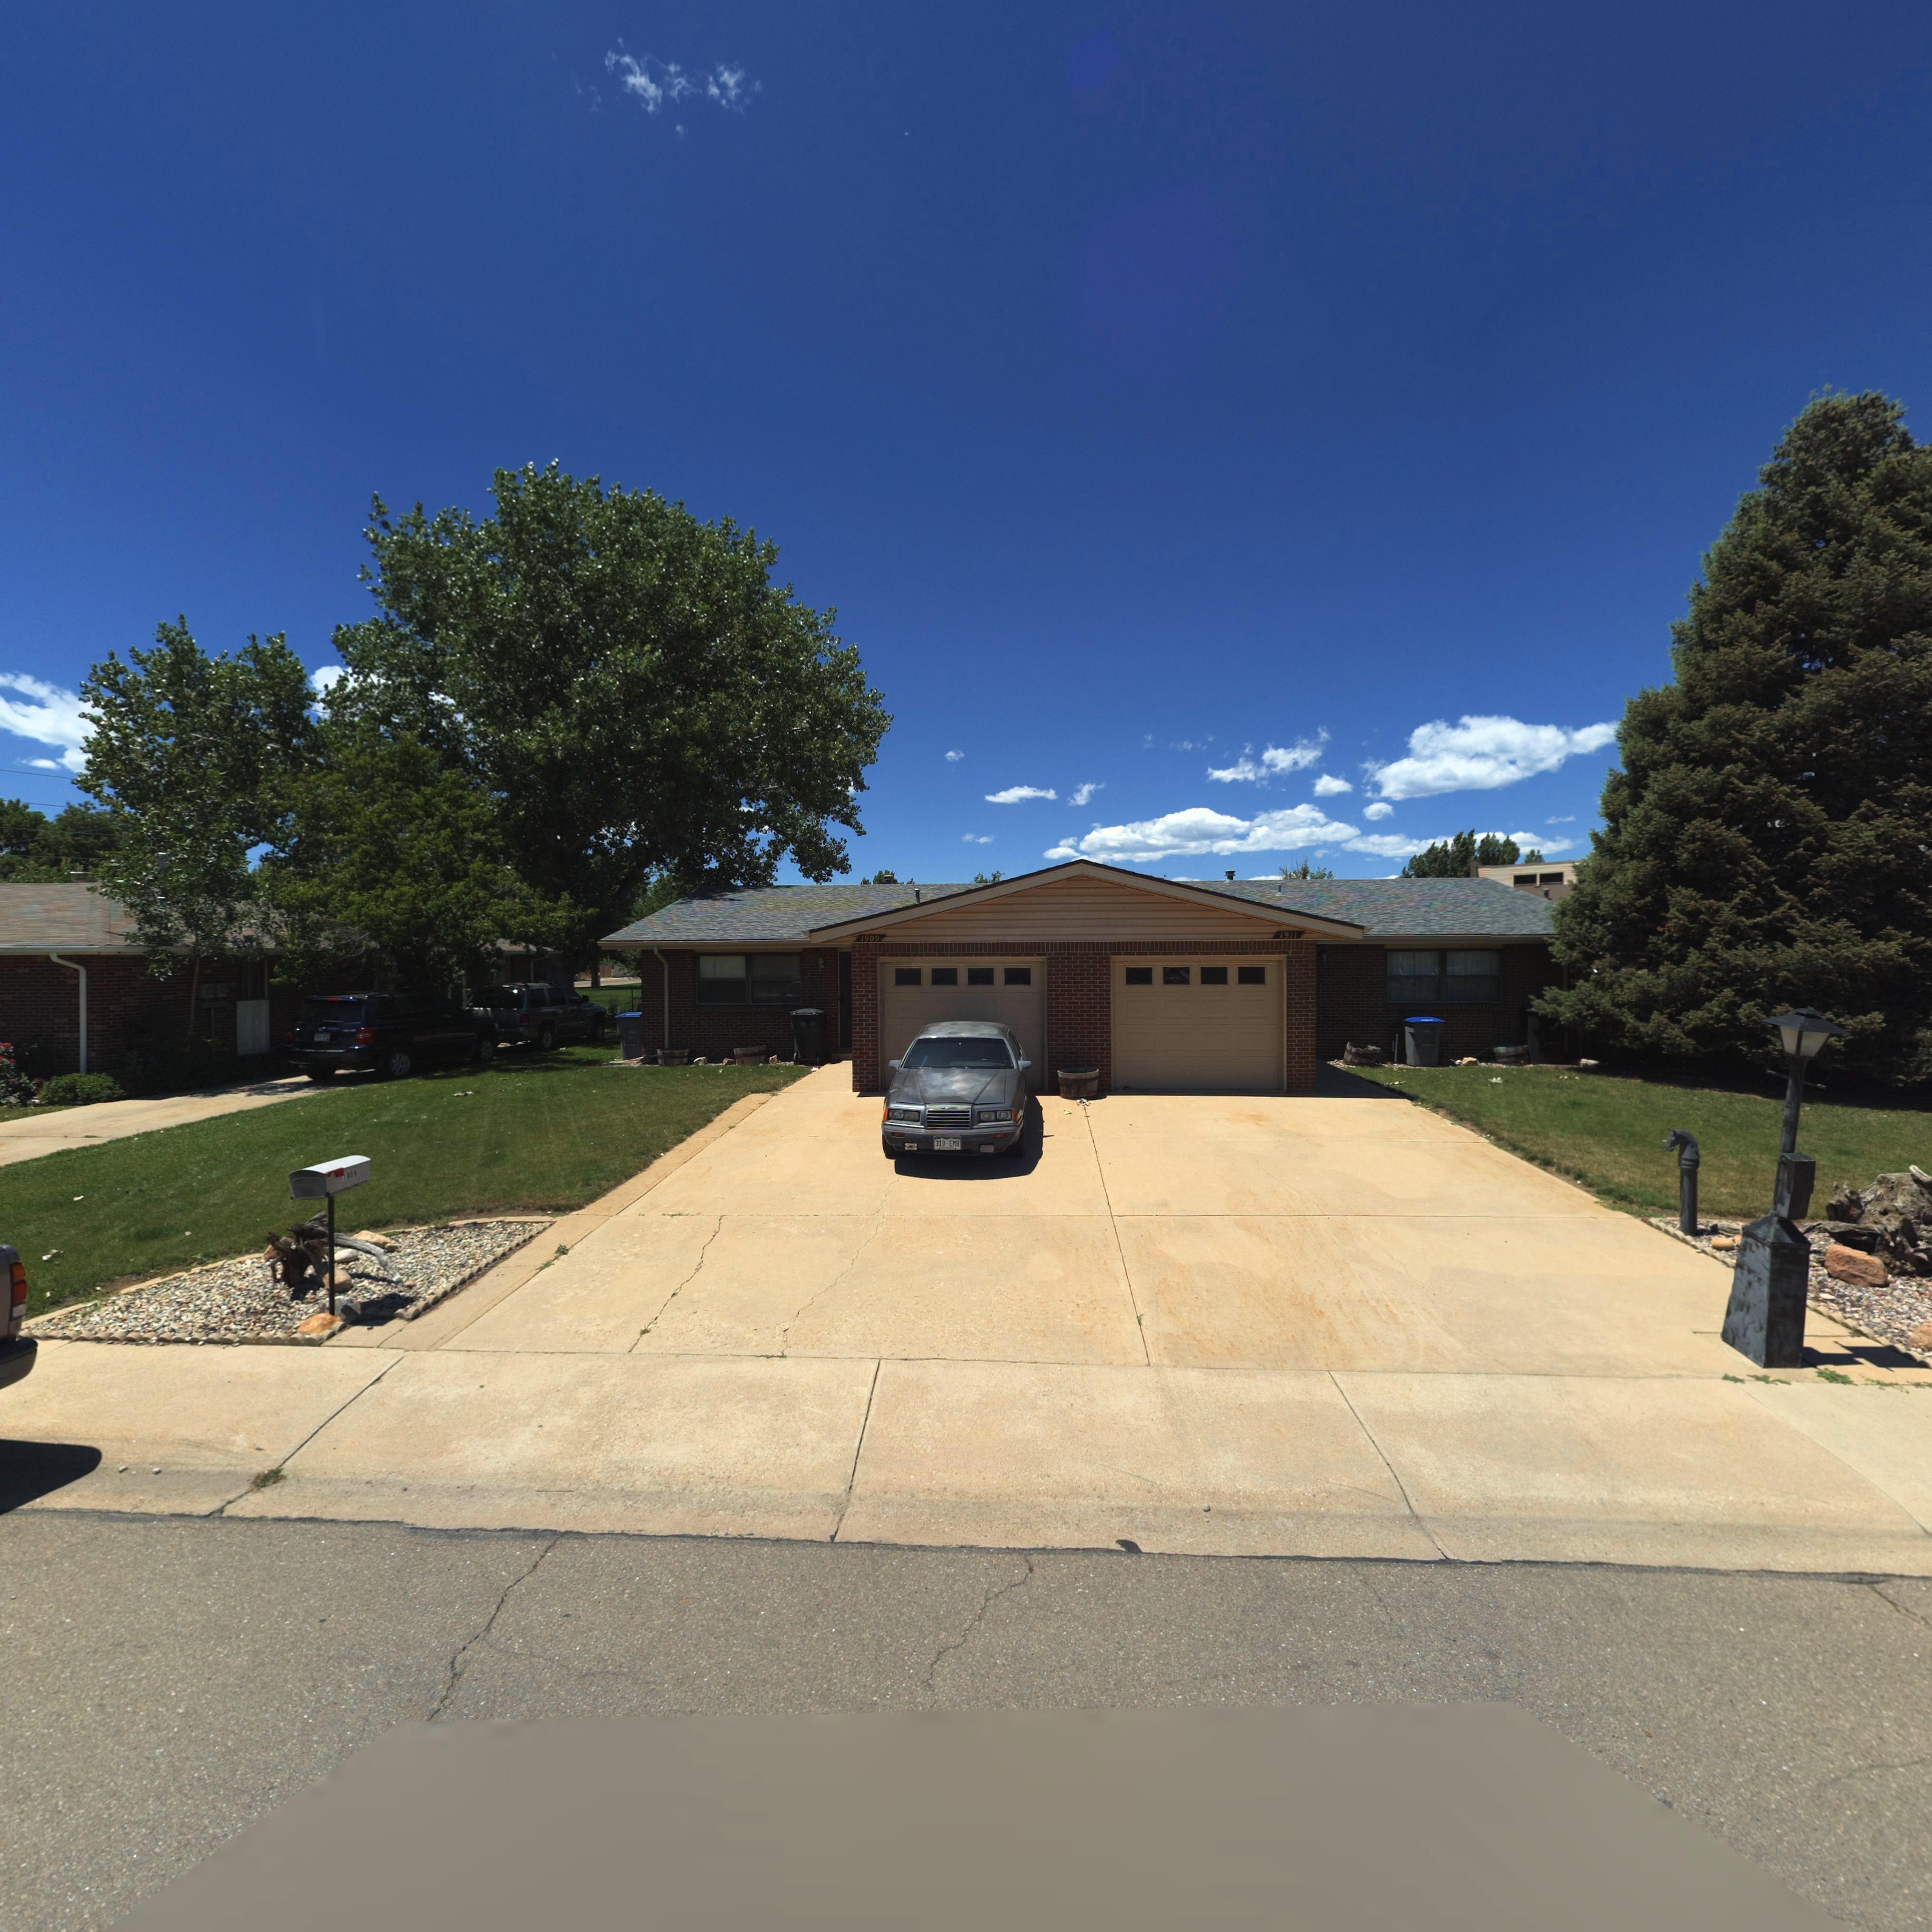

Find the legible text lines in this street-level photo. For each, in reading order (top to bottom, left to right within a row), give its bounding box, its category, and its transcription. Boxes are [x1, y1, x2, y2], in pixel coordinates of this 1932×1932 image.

[1280, 931, 1297, 938] StreetNumber: 1911
[861, 935, 879, 942] StreetNumber: 1909
[343, 1169, 357, 1180] StreetNumber: 1*09